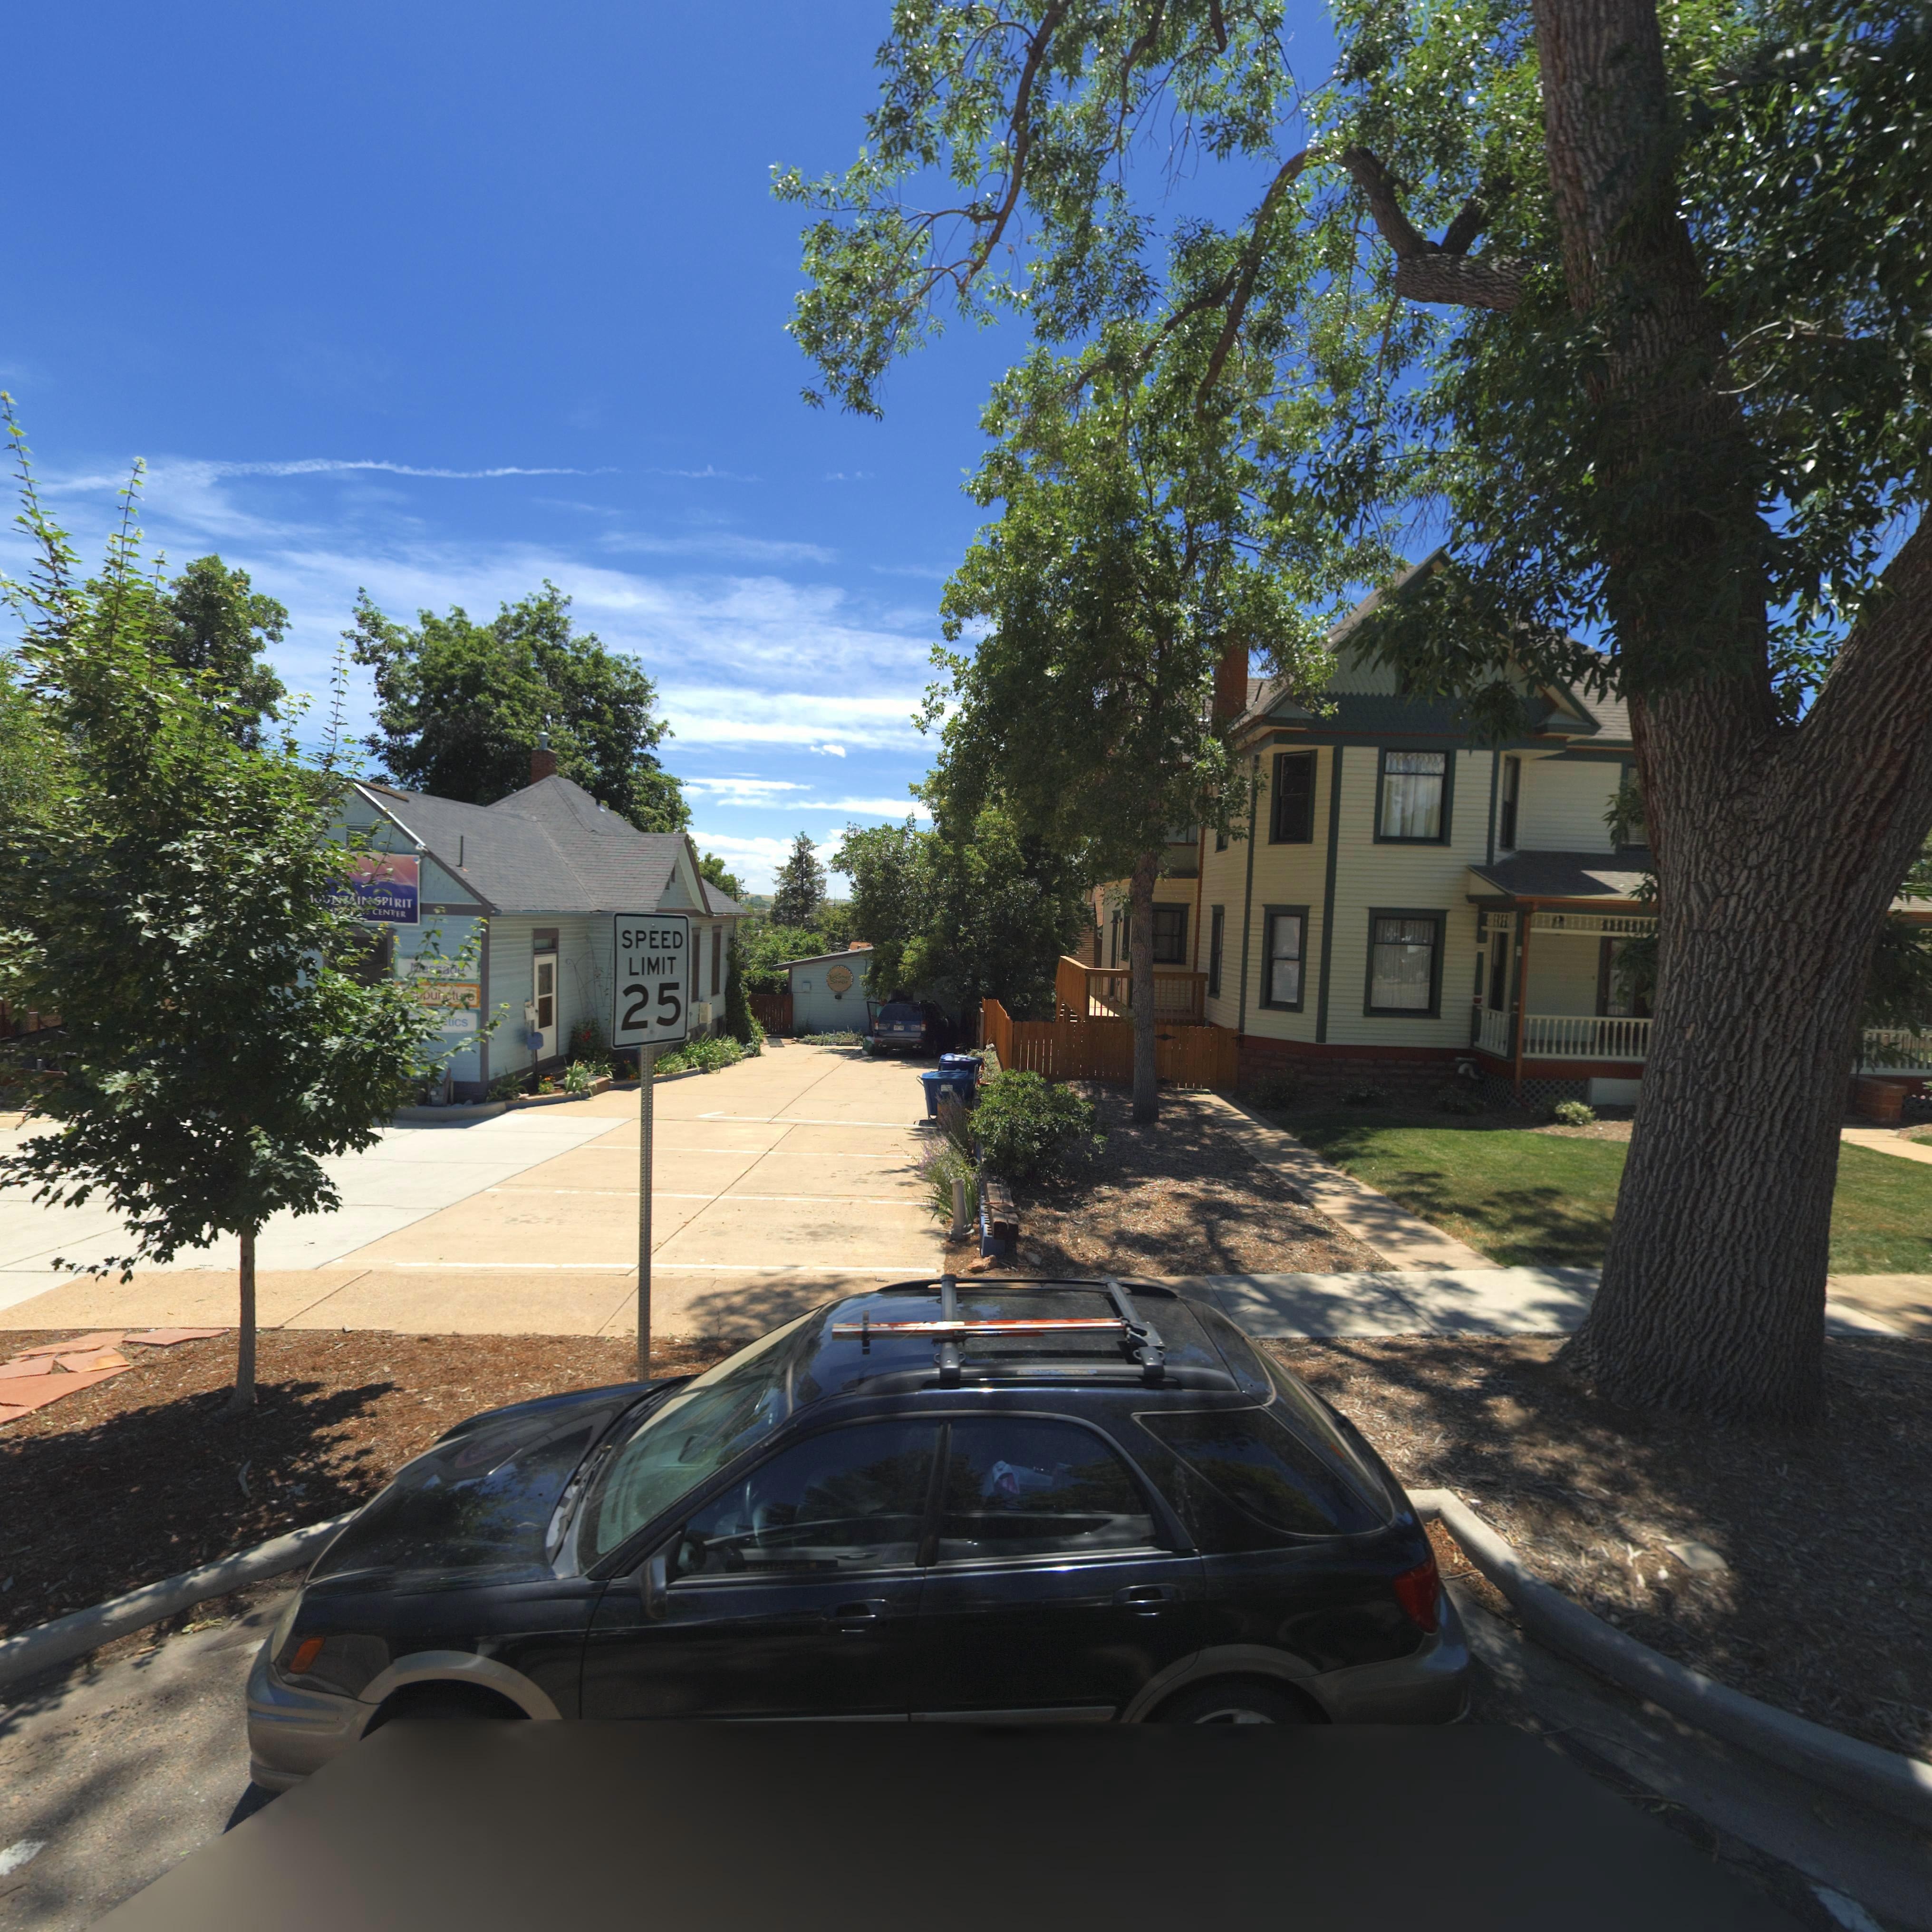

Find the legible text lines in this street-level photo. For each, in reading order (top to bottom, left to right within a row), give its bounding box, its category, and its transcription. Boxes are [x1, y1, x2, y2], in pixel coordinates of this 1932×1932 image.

[304, 894, 412, 908] BusinessName: ******I* *PIRIT
[373, 908, 406, 917] BusinessName: CENTER